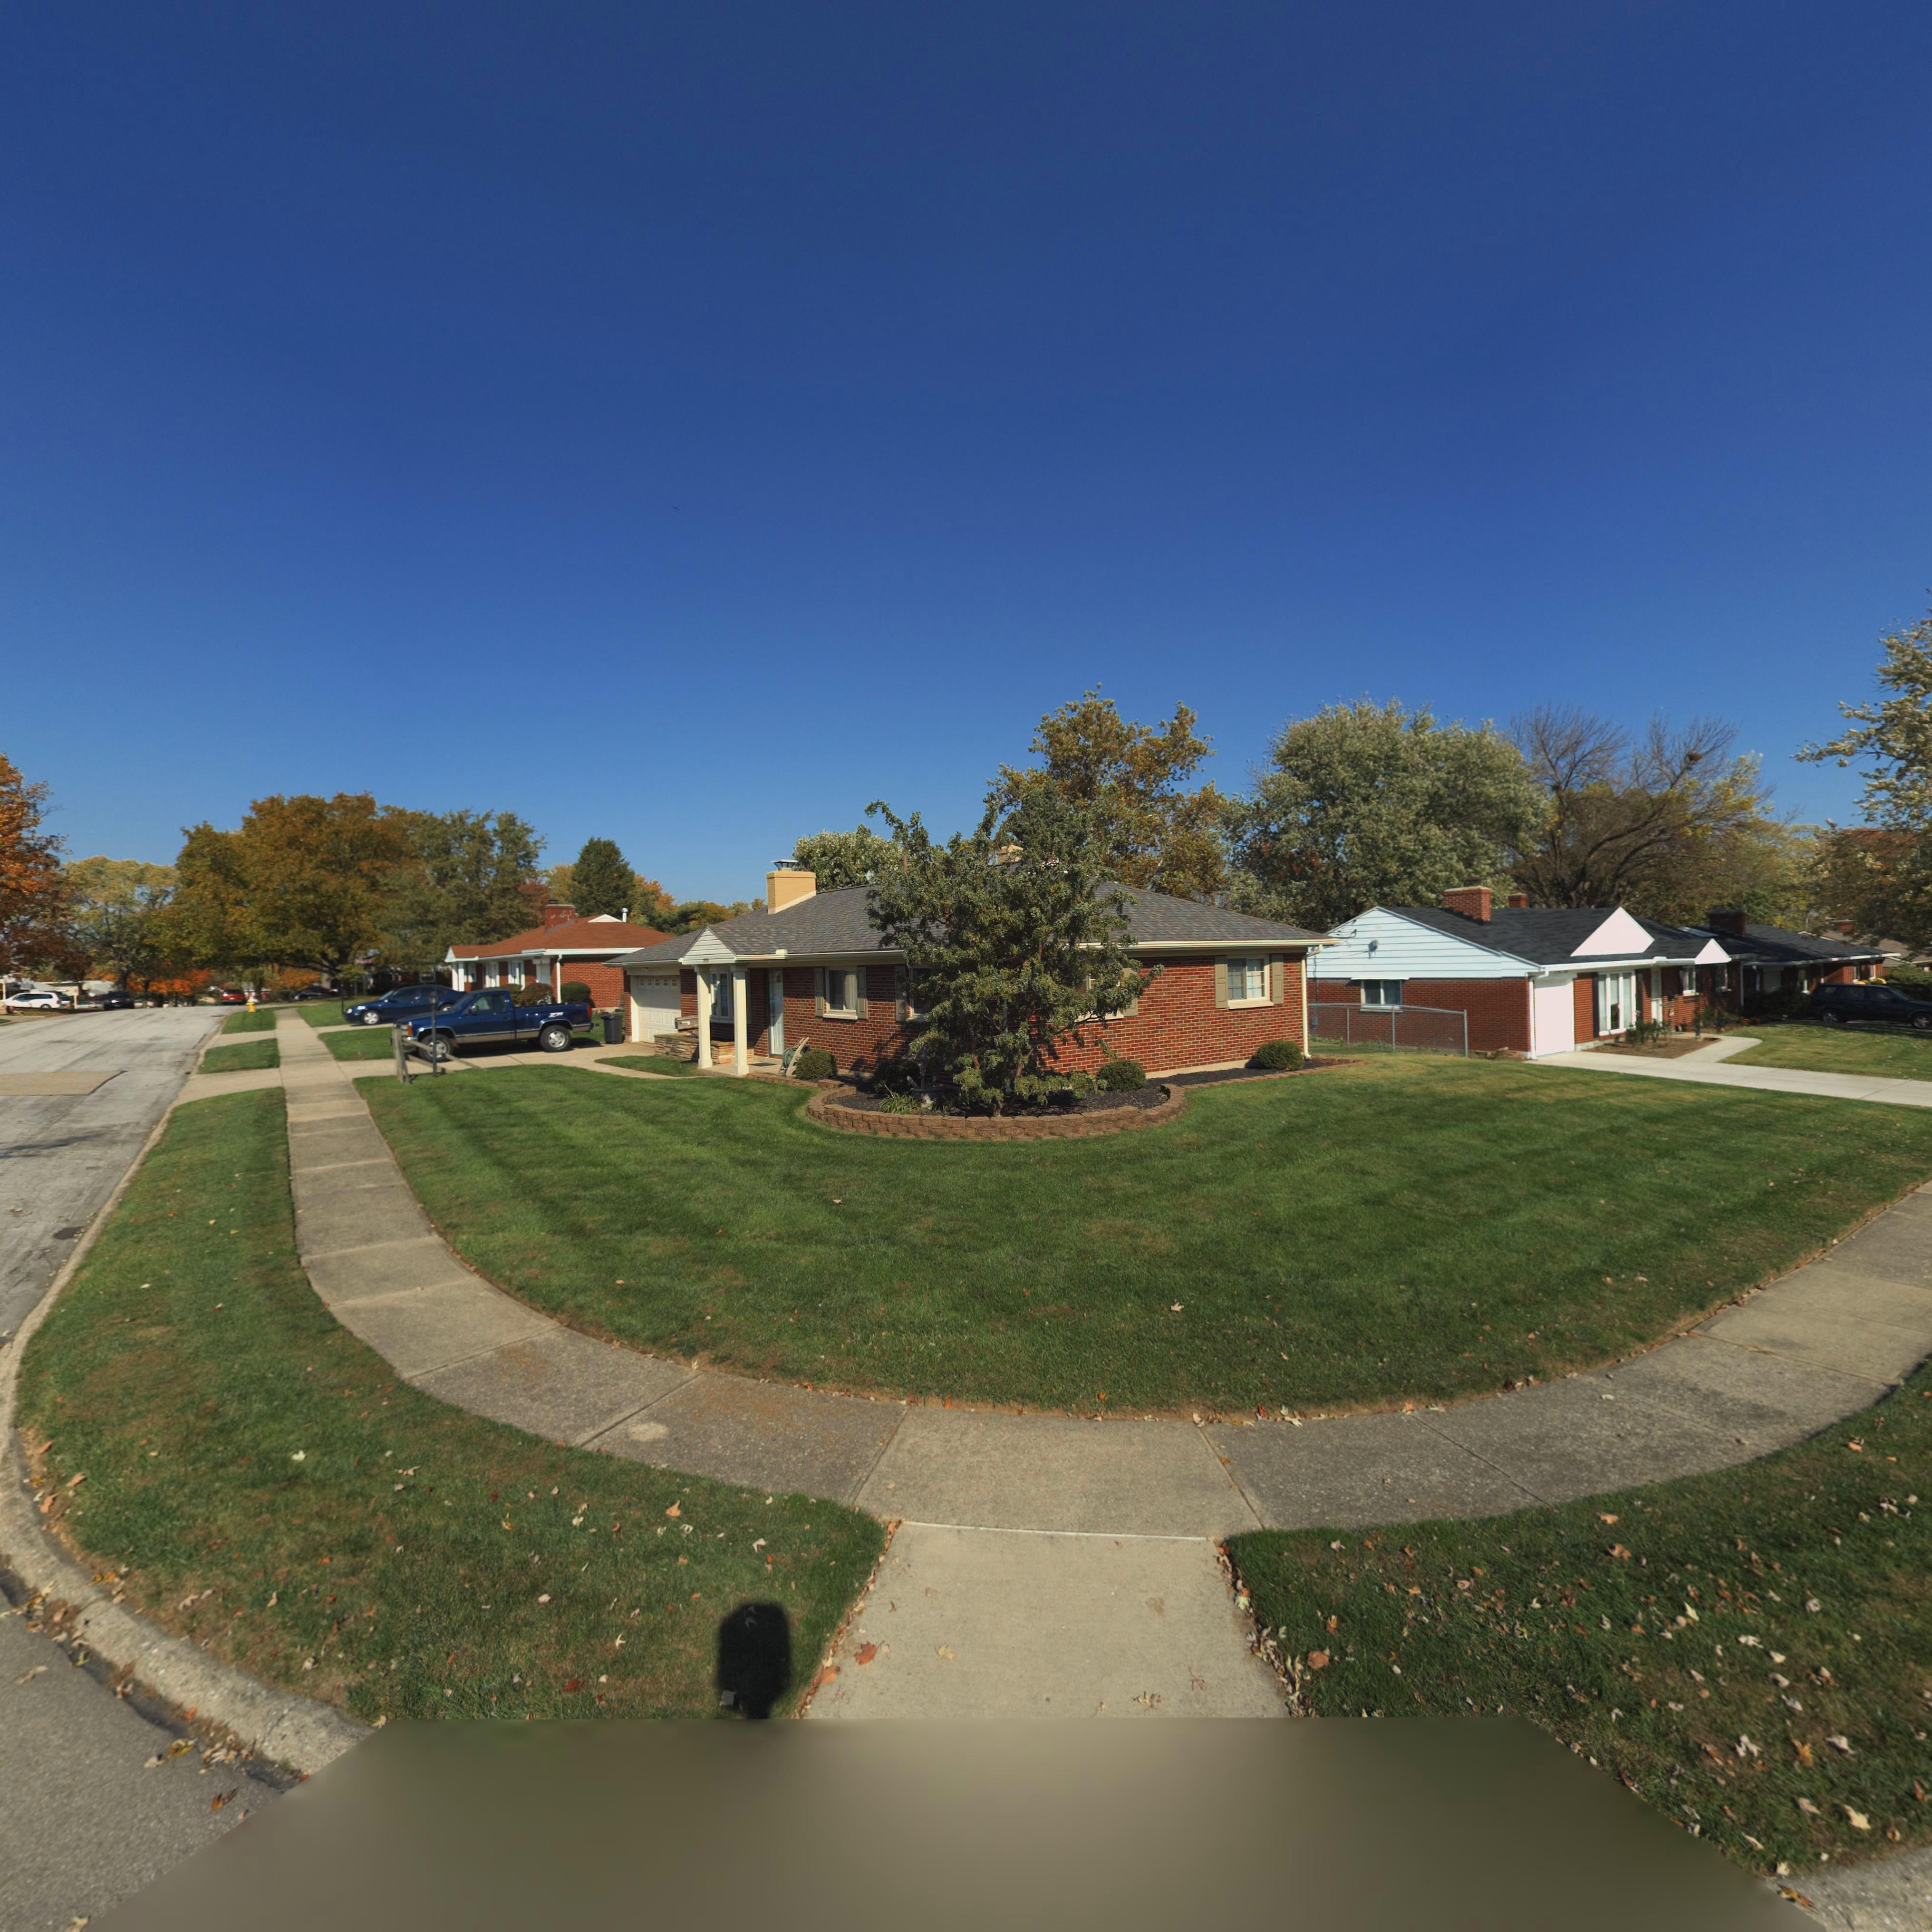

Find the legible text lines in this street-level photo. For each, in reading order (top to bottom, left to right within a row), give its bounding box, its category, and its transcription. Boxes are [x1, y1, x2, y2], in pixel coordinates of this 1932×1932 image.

[703, 958, 708, 962] StreetNumber: 3938
[549, 1012, 564, 1018] None: X71